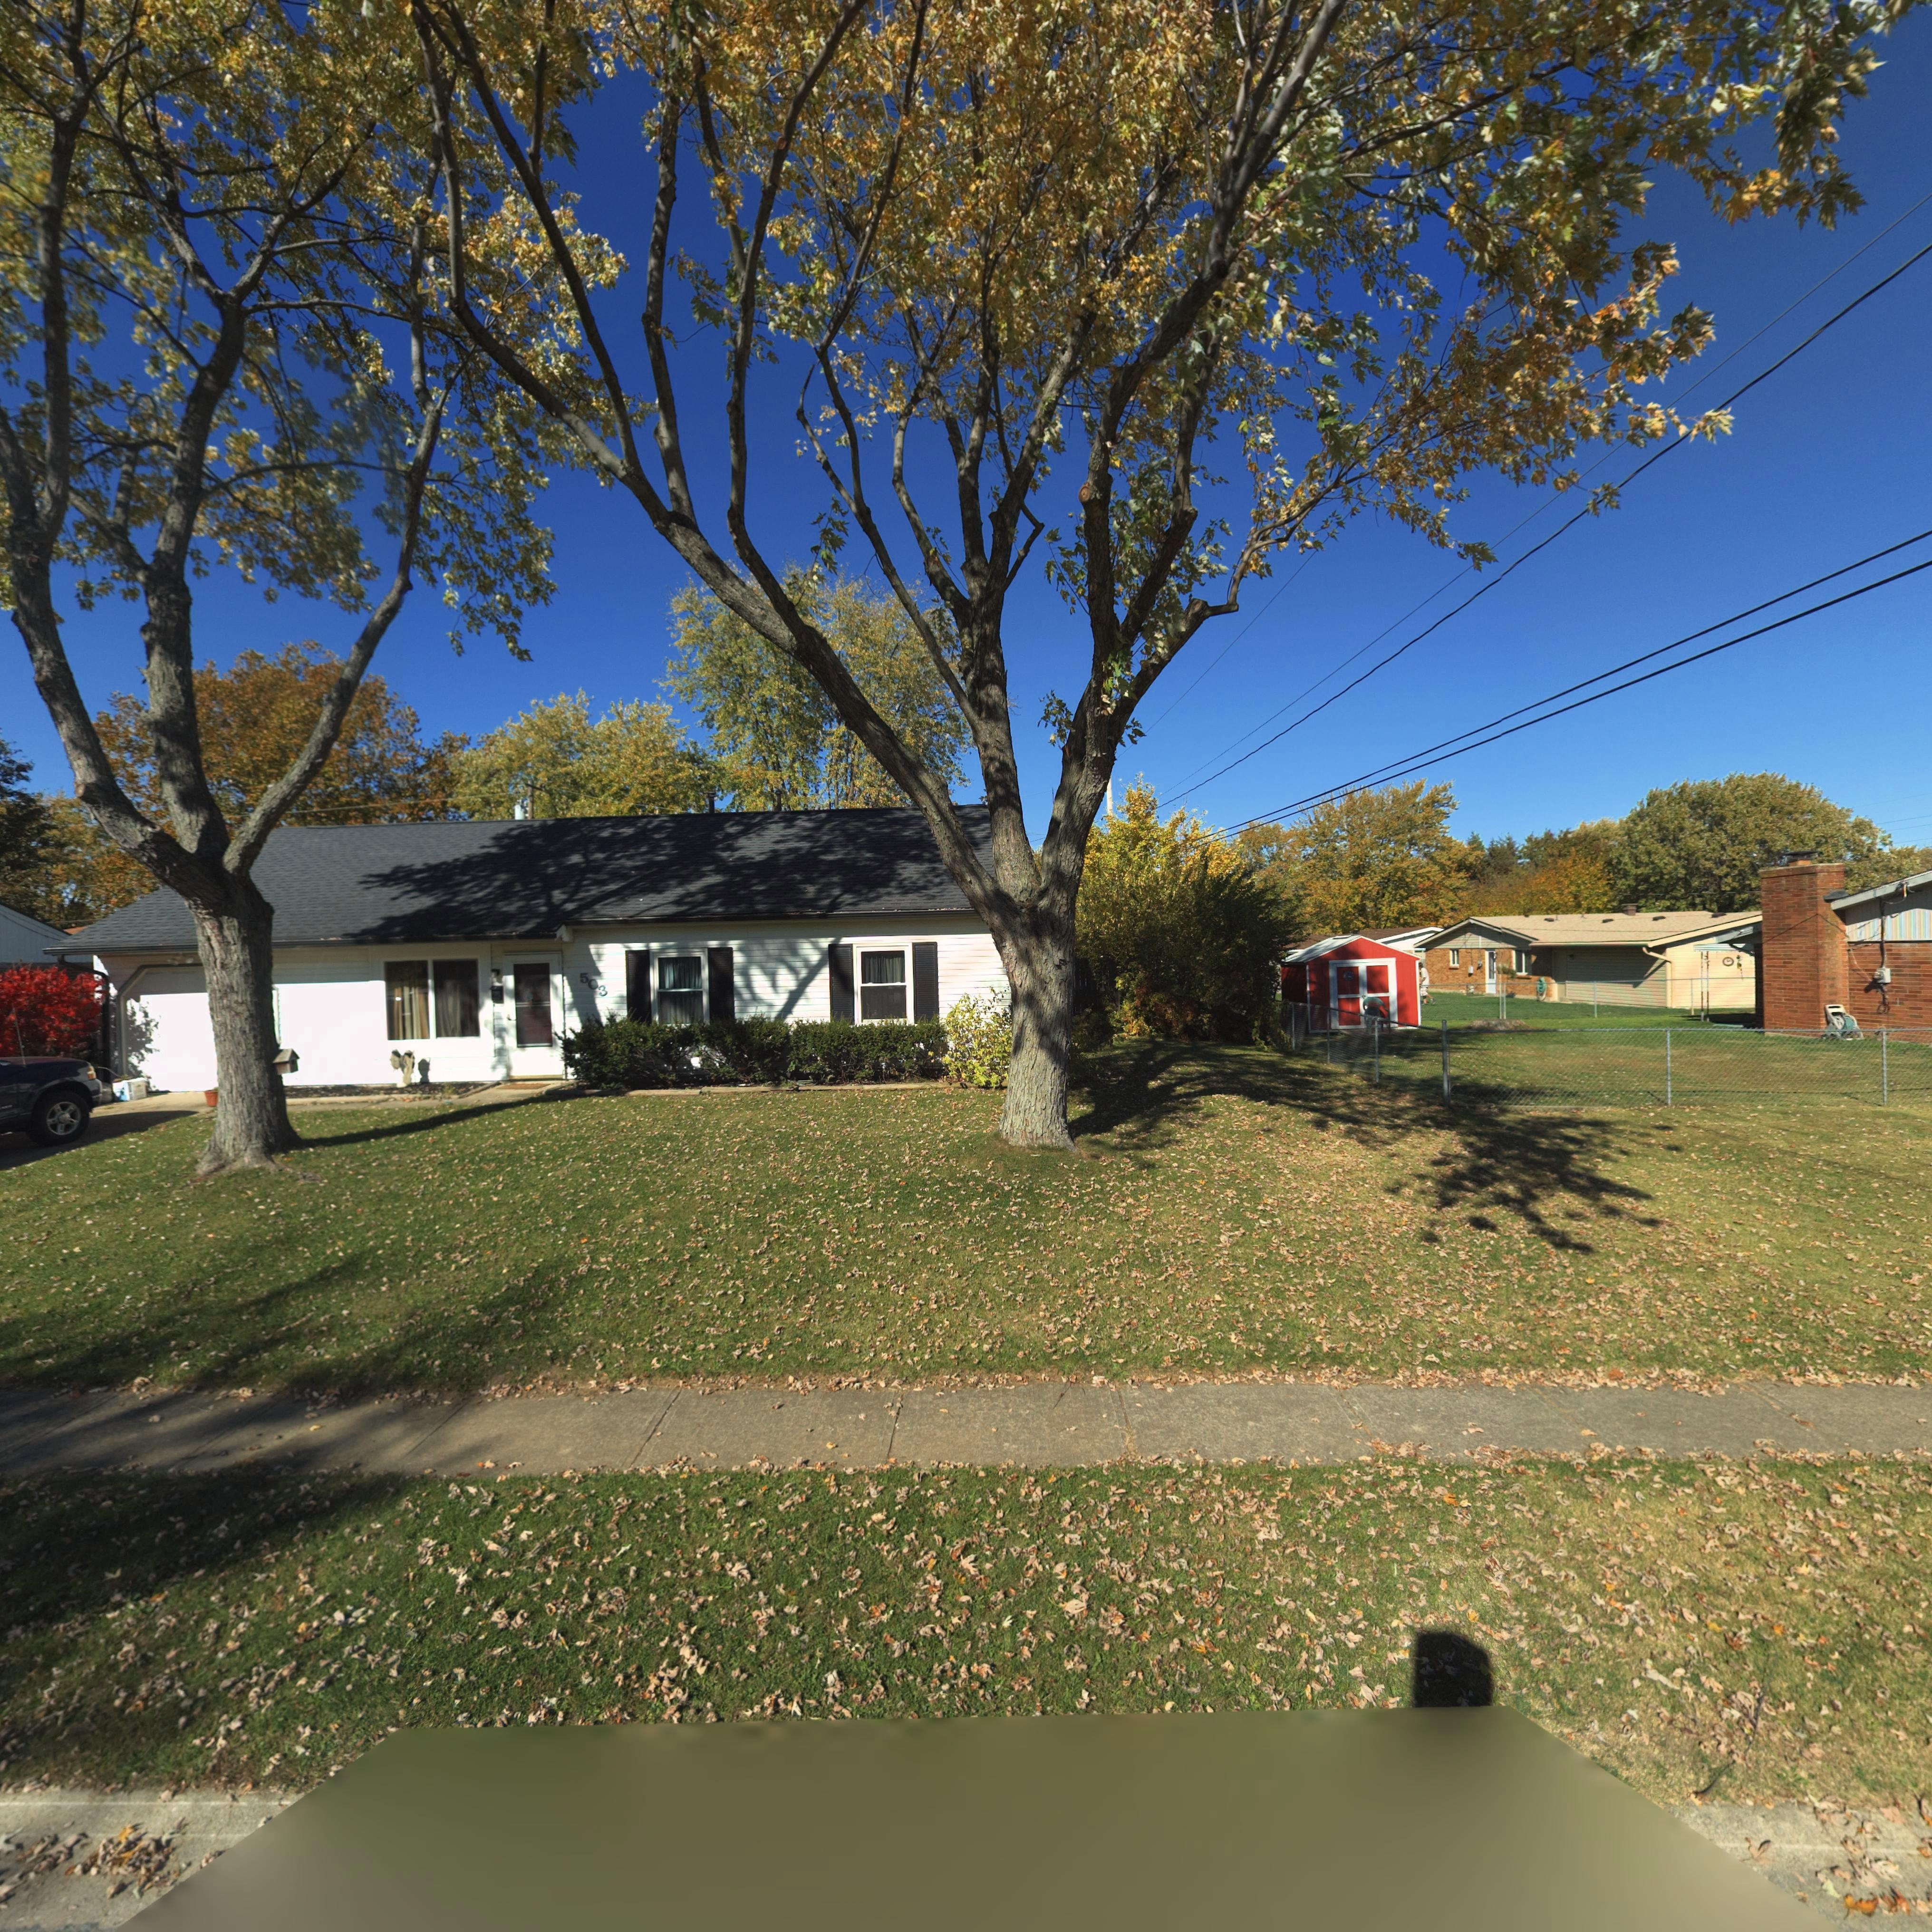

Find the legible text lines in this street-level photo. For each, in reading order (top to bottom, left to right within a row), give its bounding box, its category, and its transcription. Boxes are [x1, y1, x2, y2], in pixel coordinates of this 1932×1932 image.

[579, 972, 608, 997] StreetNumber: 503